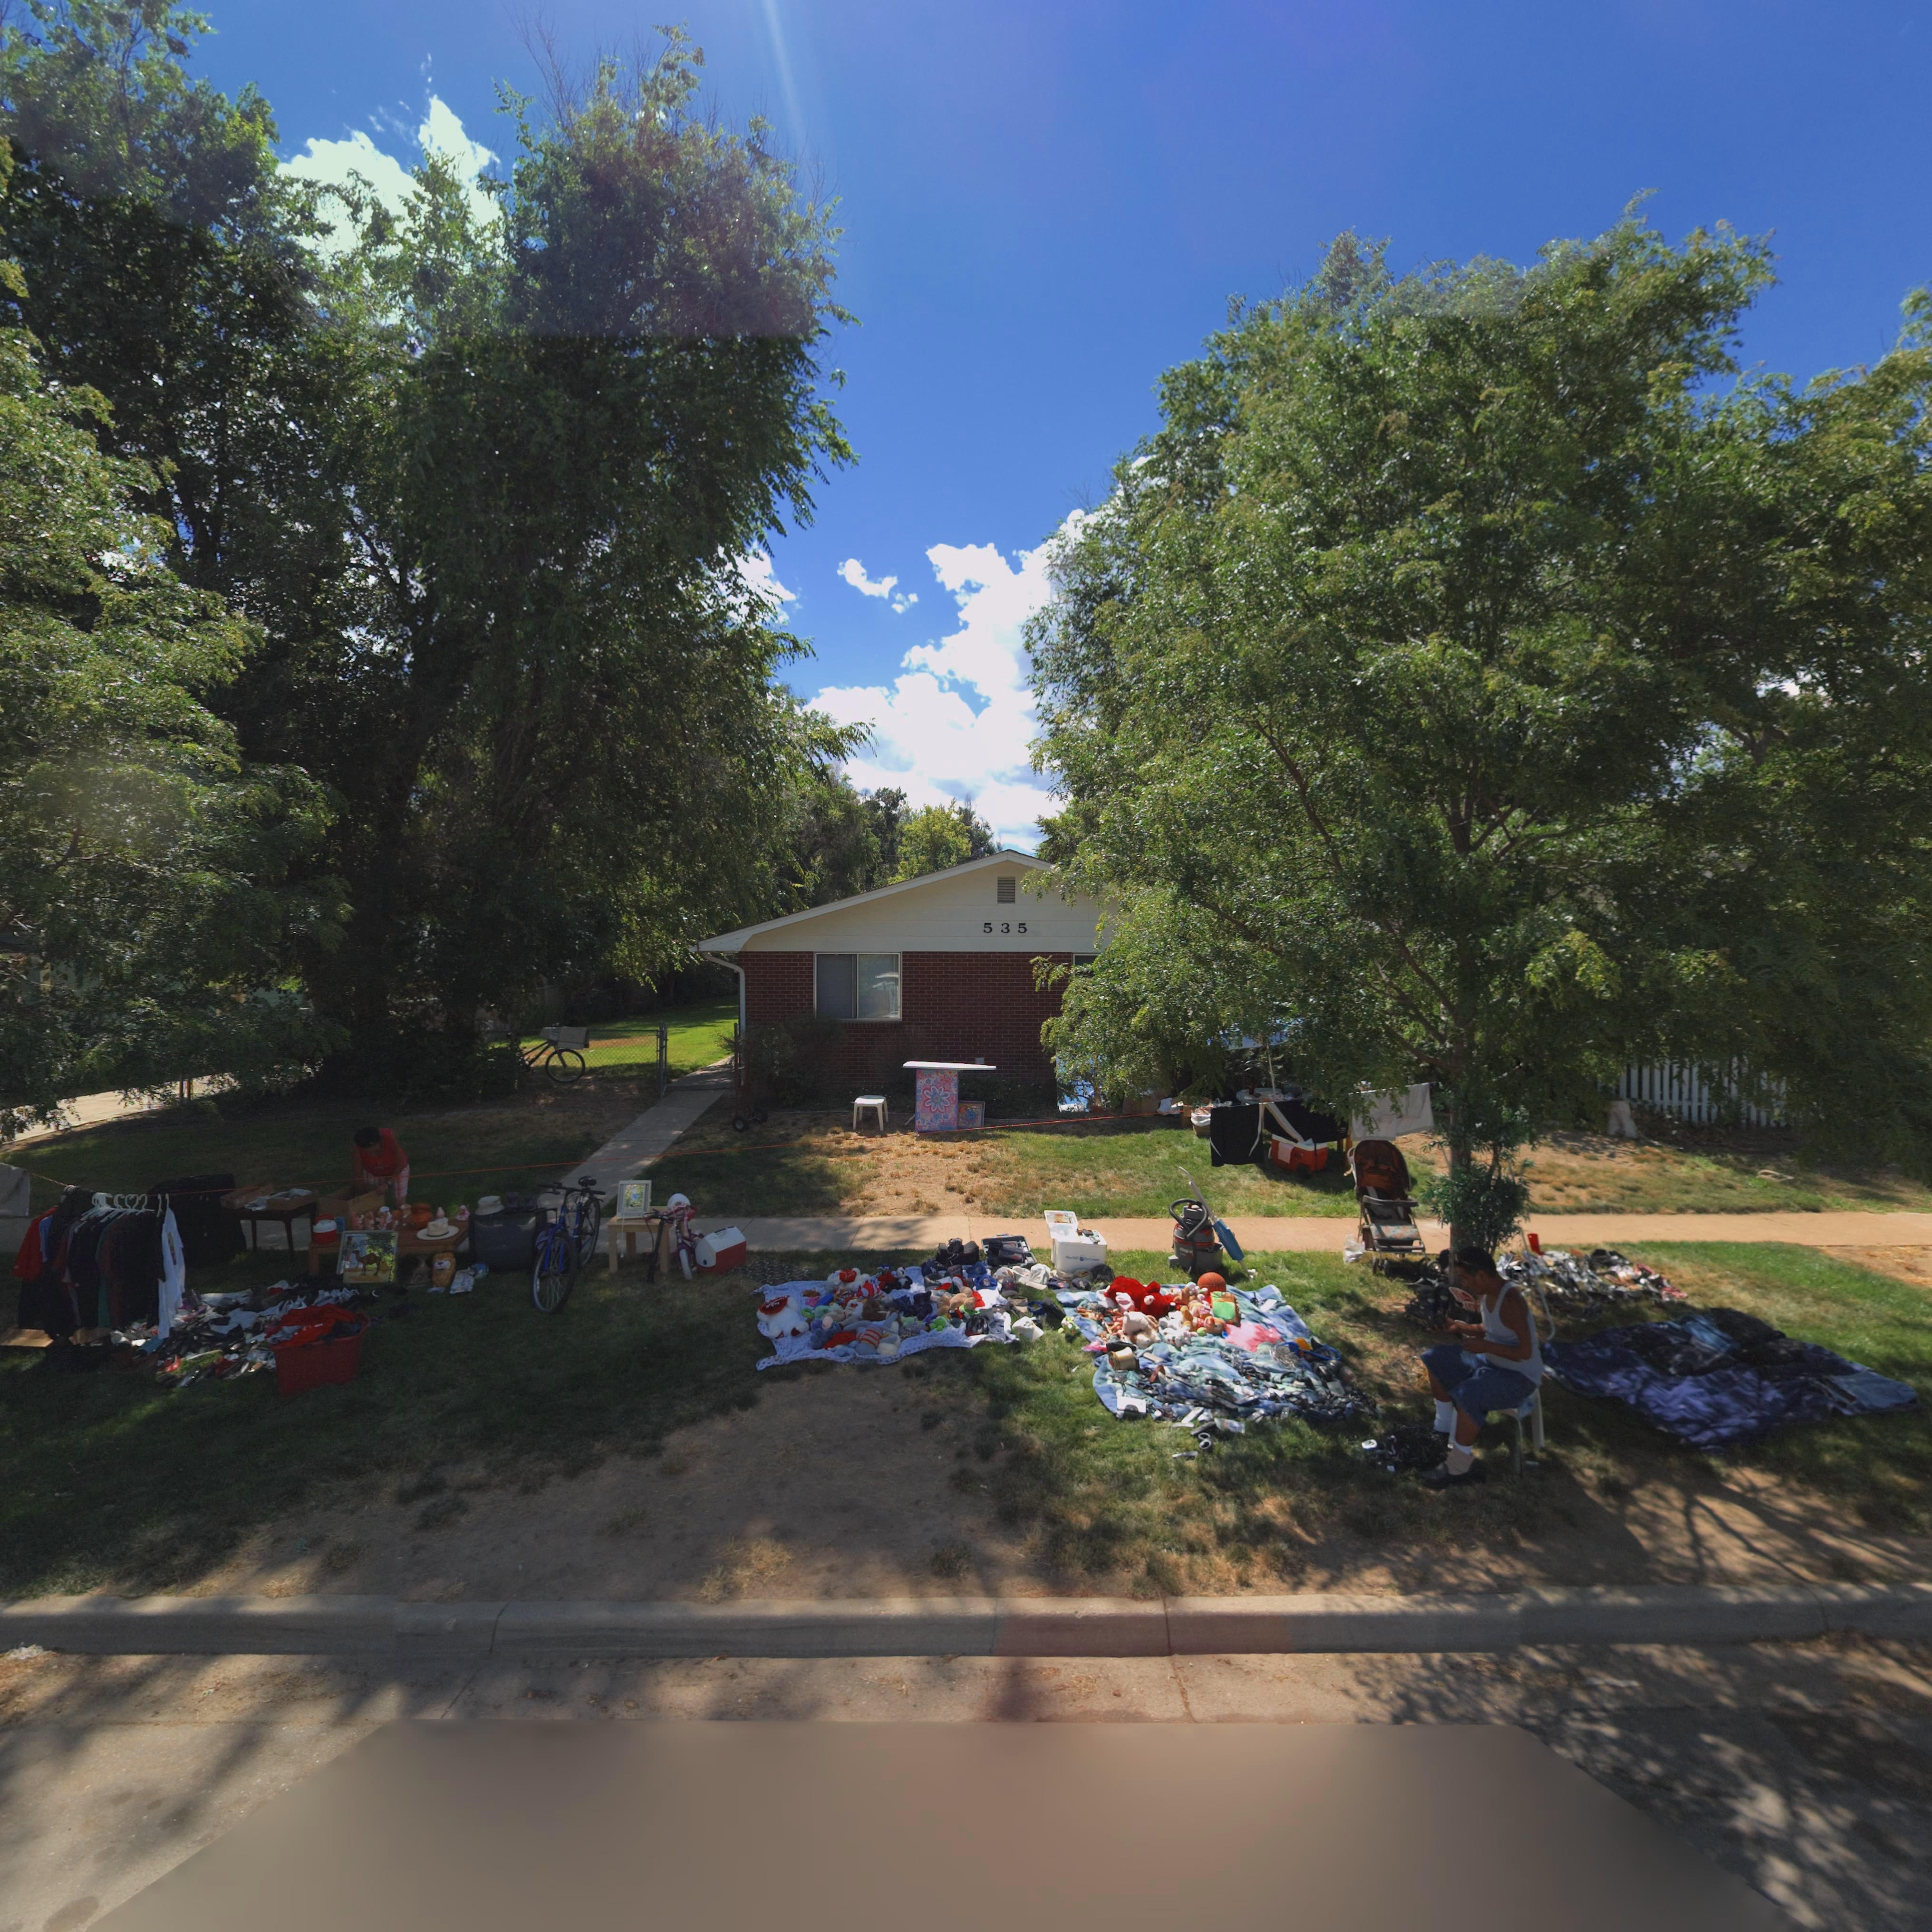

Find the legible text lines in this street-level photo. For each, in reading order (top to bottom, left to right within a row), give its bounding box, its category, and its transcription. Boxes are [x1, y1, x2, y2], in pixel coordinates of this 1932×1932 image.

[983, 922, 1028, 934] StreetNumber: 535